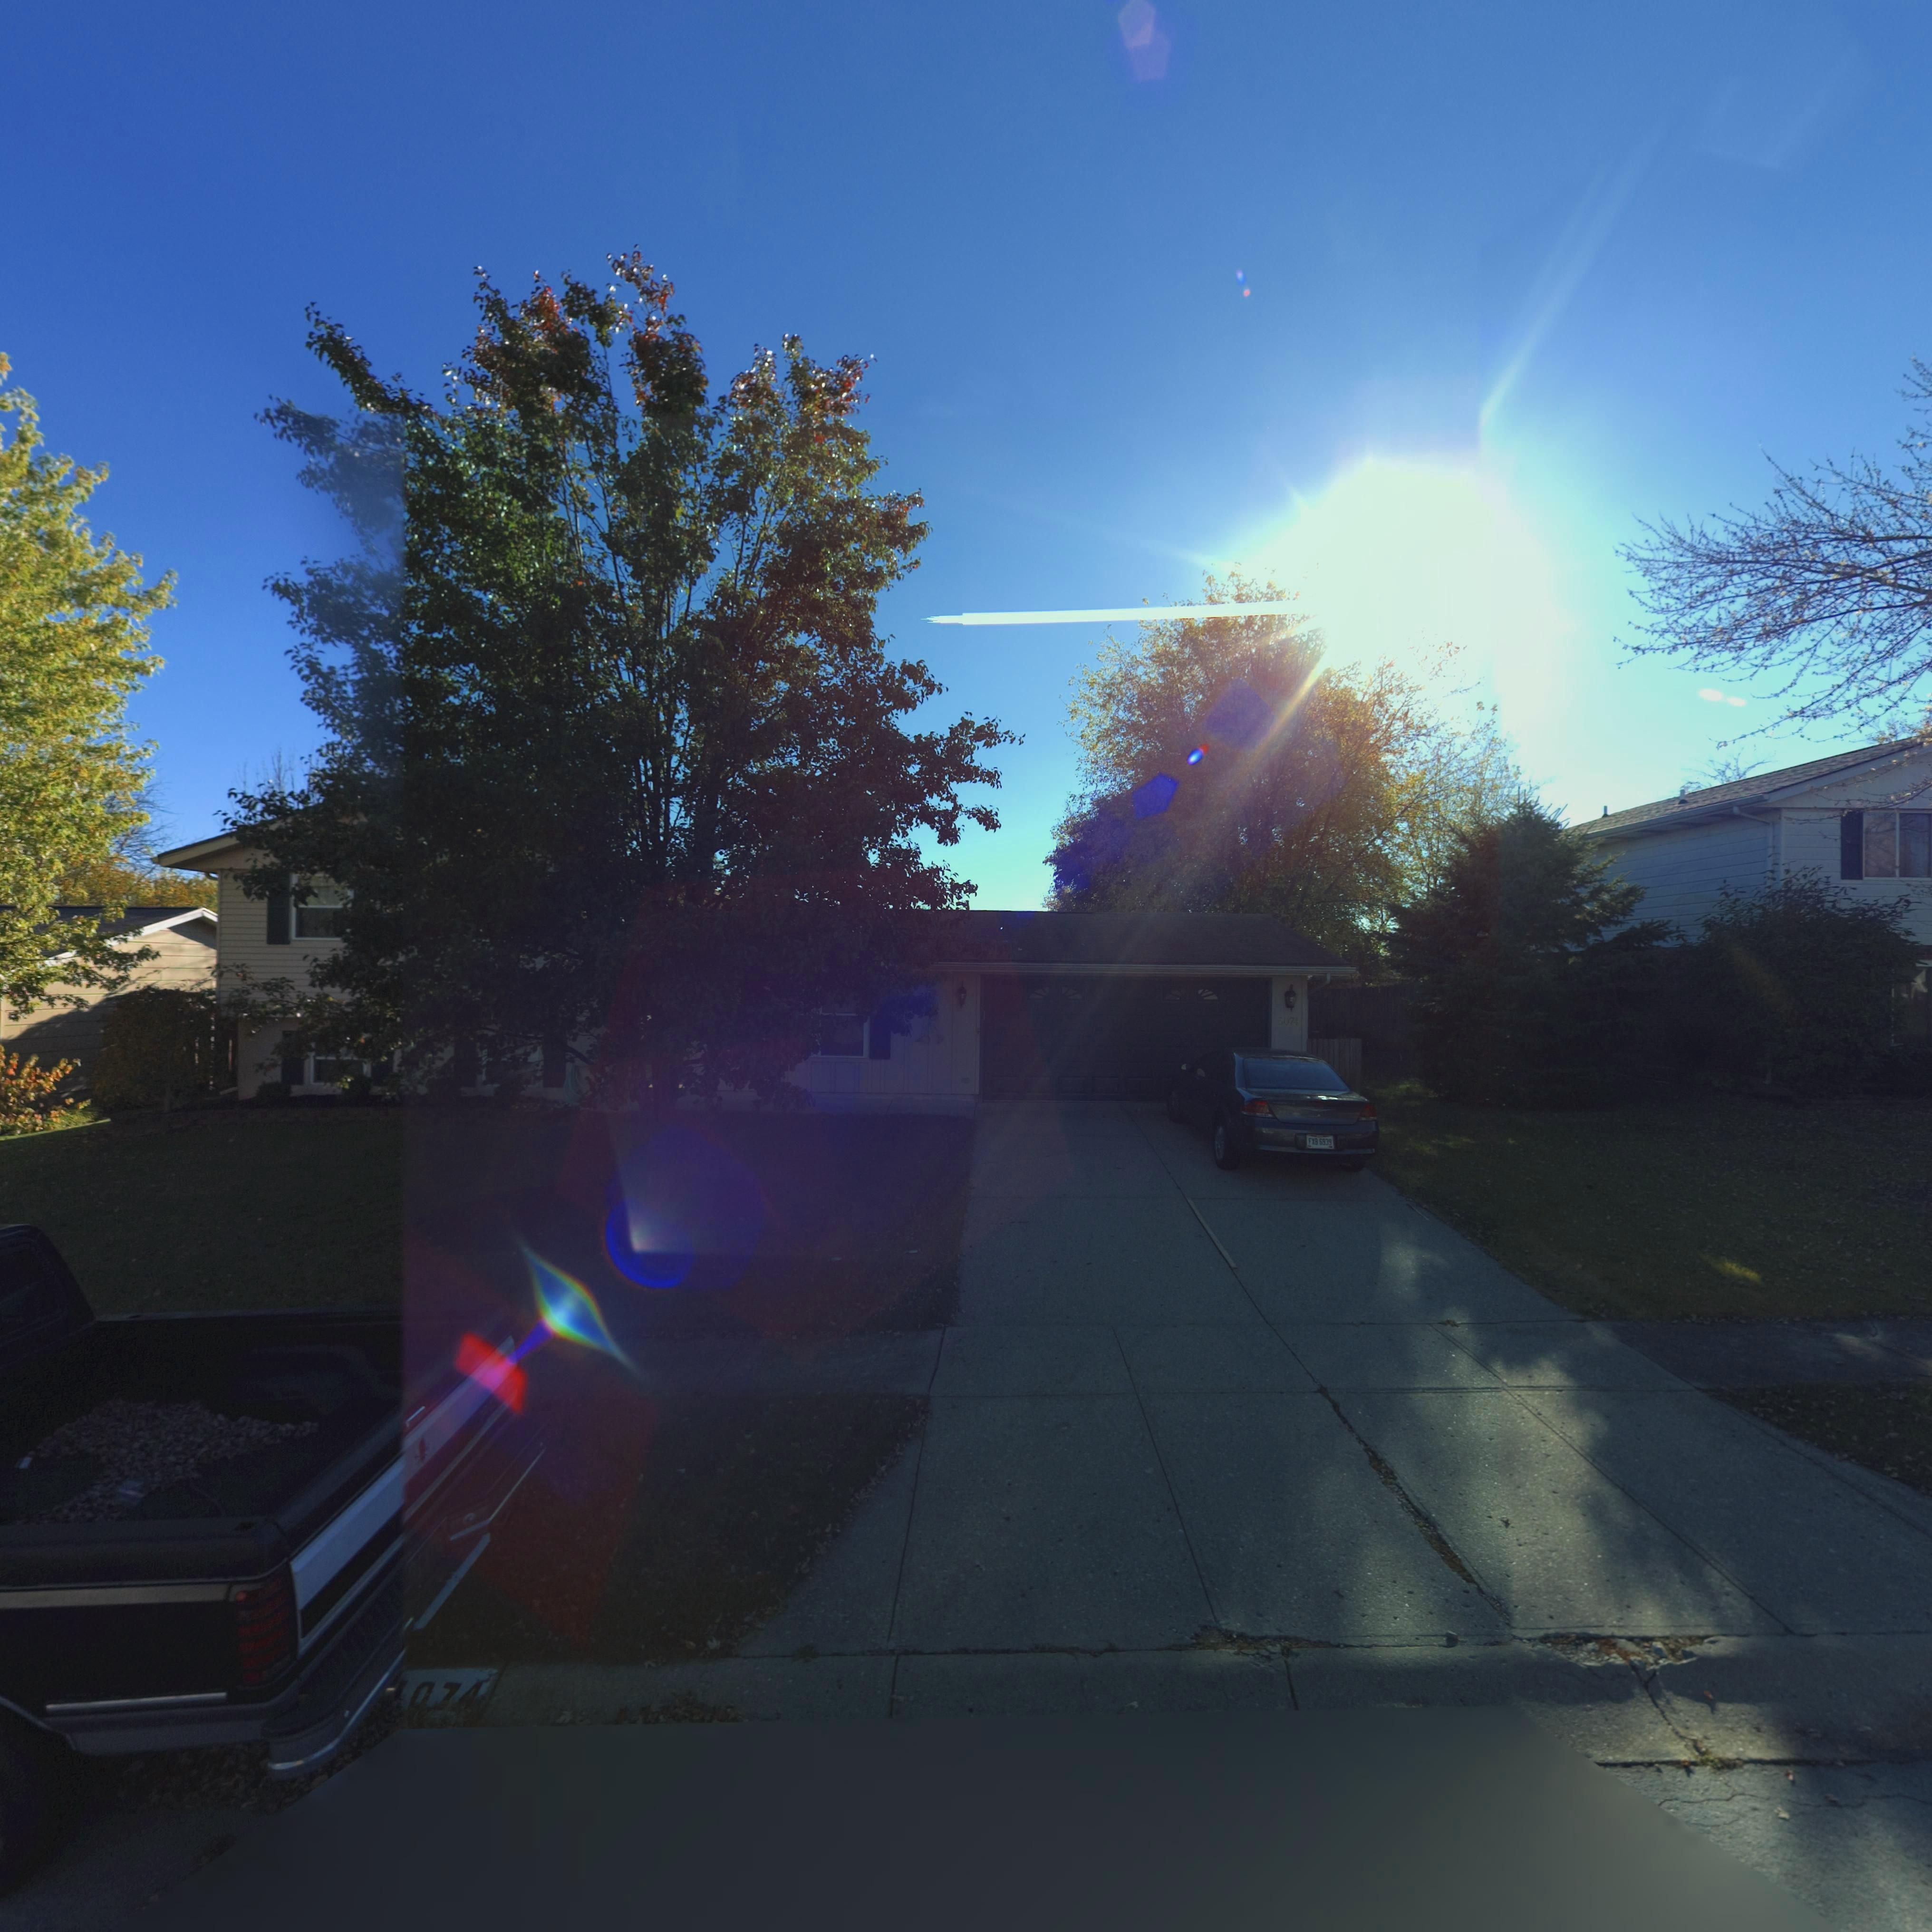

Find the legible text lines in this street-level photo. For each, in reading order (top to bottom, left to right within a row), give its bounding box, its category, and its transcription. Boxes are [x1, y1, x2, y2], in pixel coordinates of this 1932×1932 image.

[1276, 1016, 1299, 1026] StreetNumber: 5074
[405, 1679, 487, 1713] StreetNumber: 074